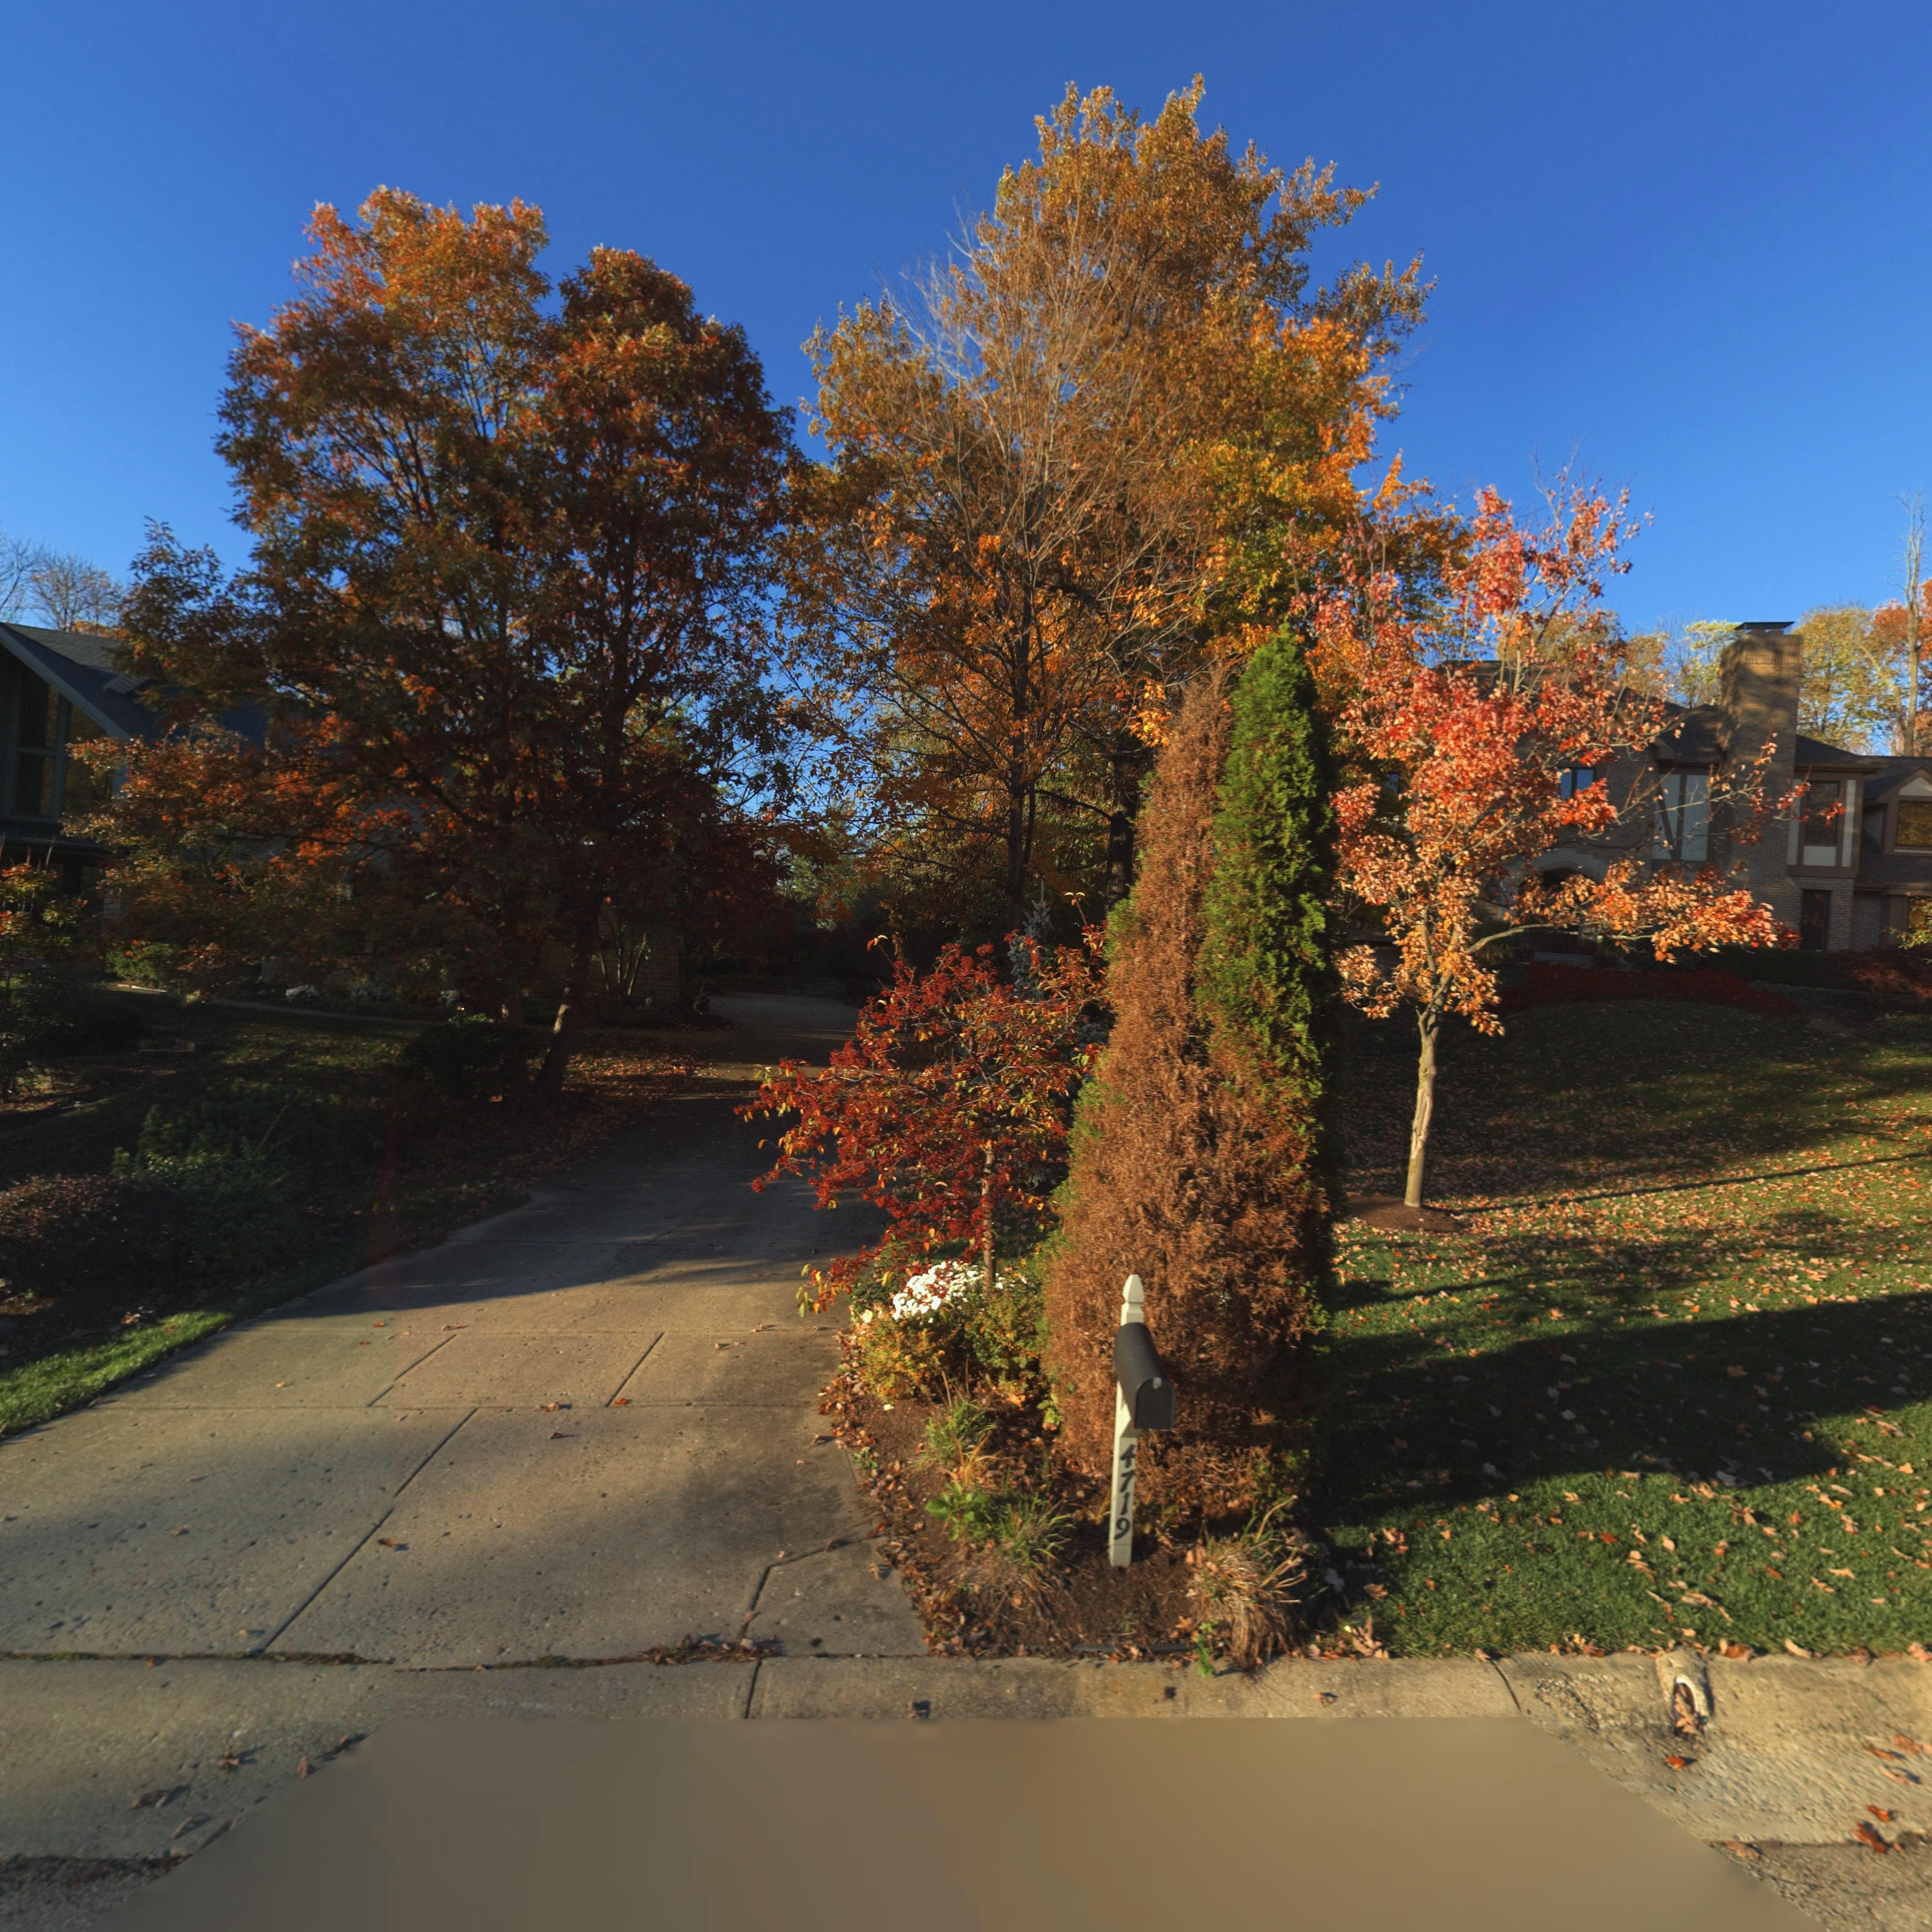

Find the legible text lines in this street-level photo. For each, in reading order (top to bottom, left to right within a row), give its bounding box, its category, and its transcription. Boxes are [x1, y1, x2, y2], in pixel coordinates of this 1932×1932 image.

[1113, 1441, 1136, 1542] StreetNumber: 4719